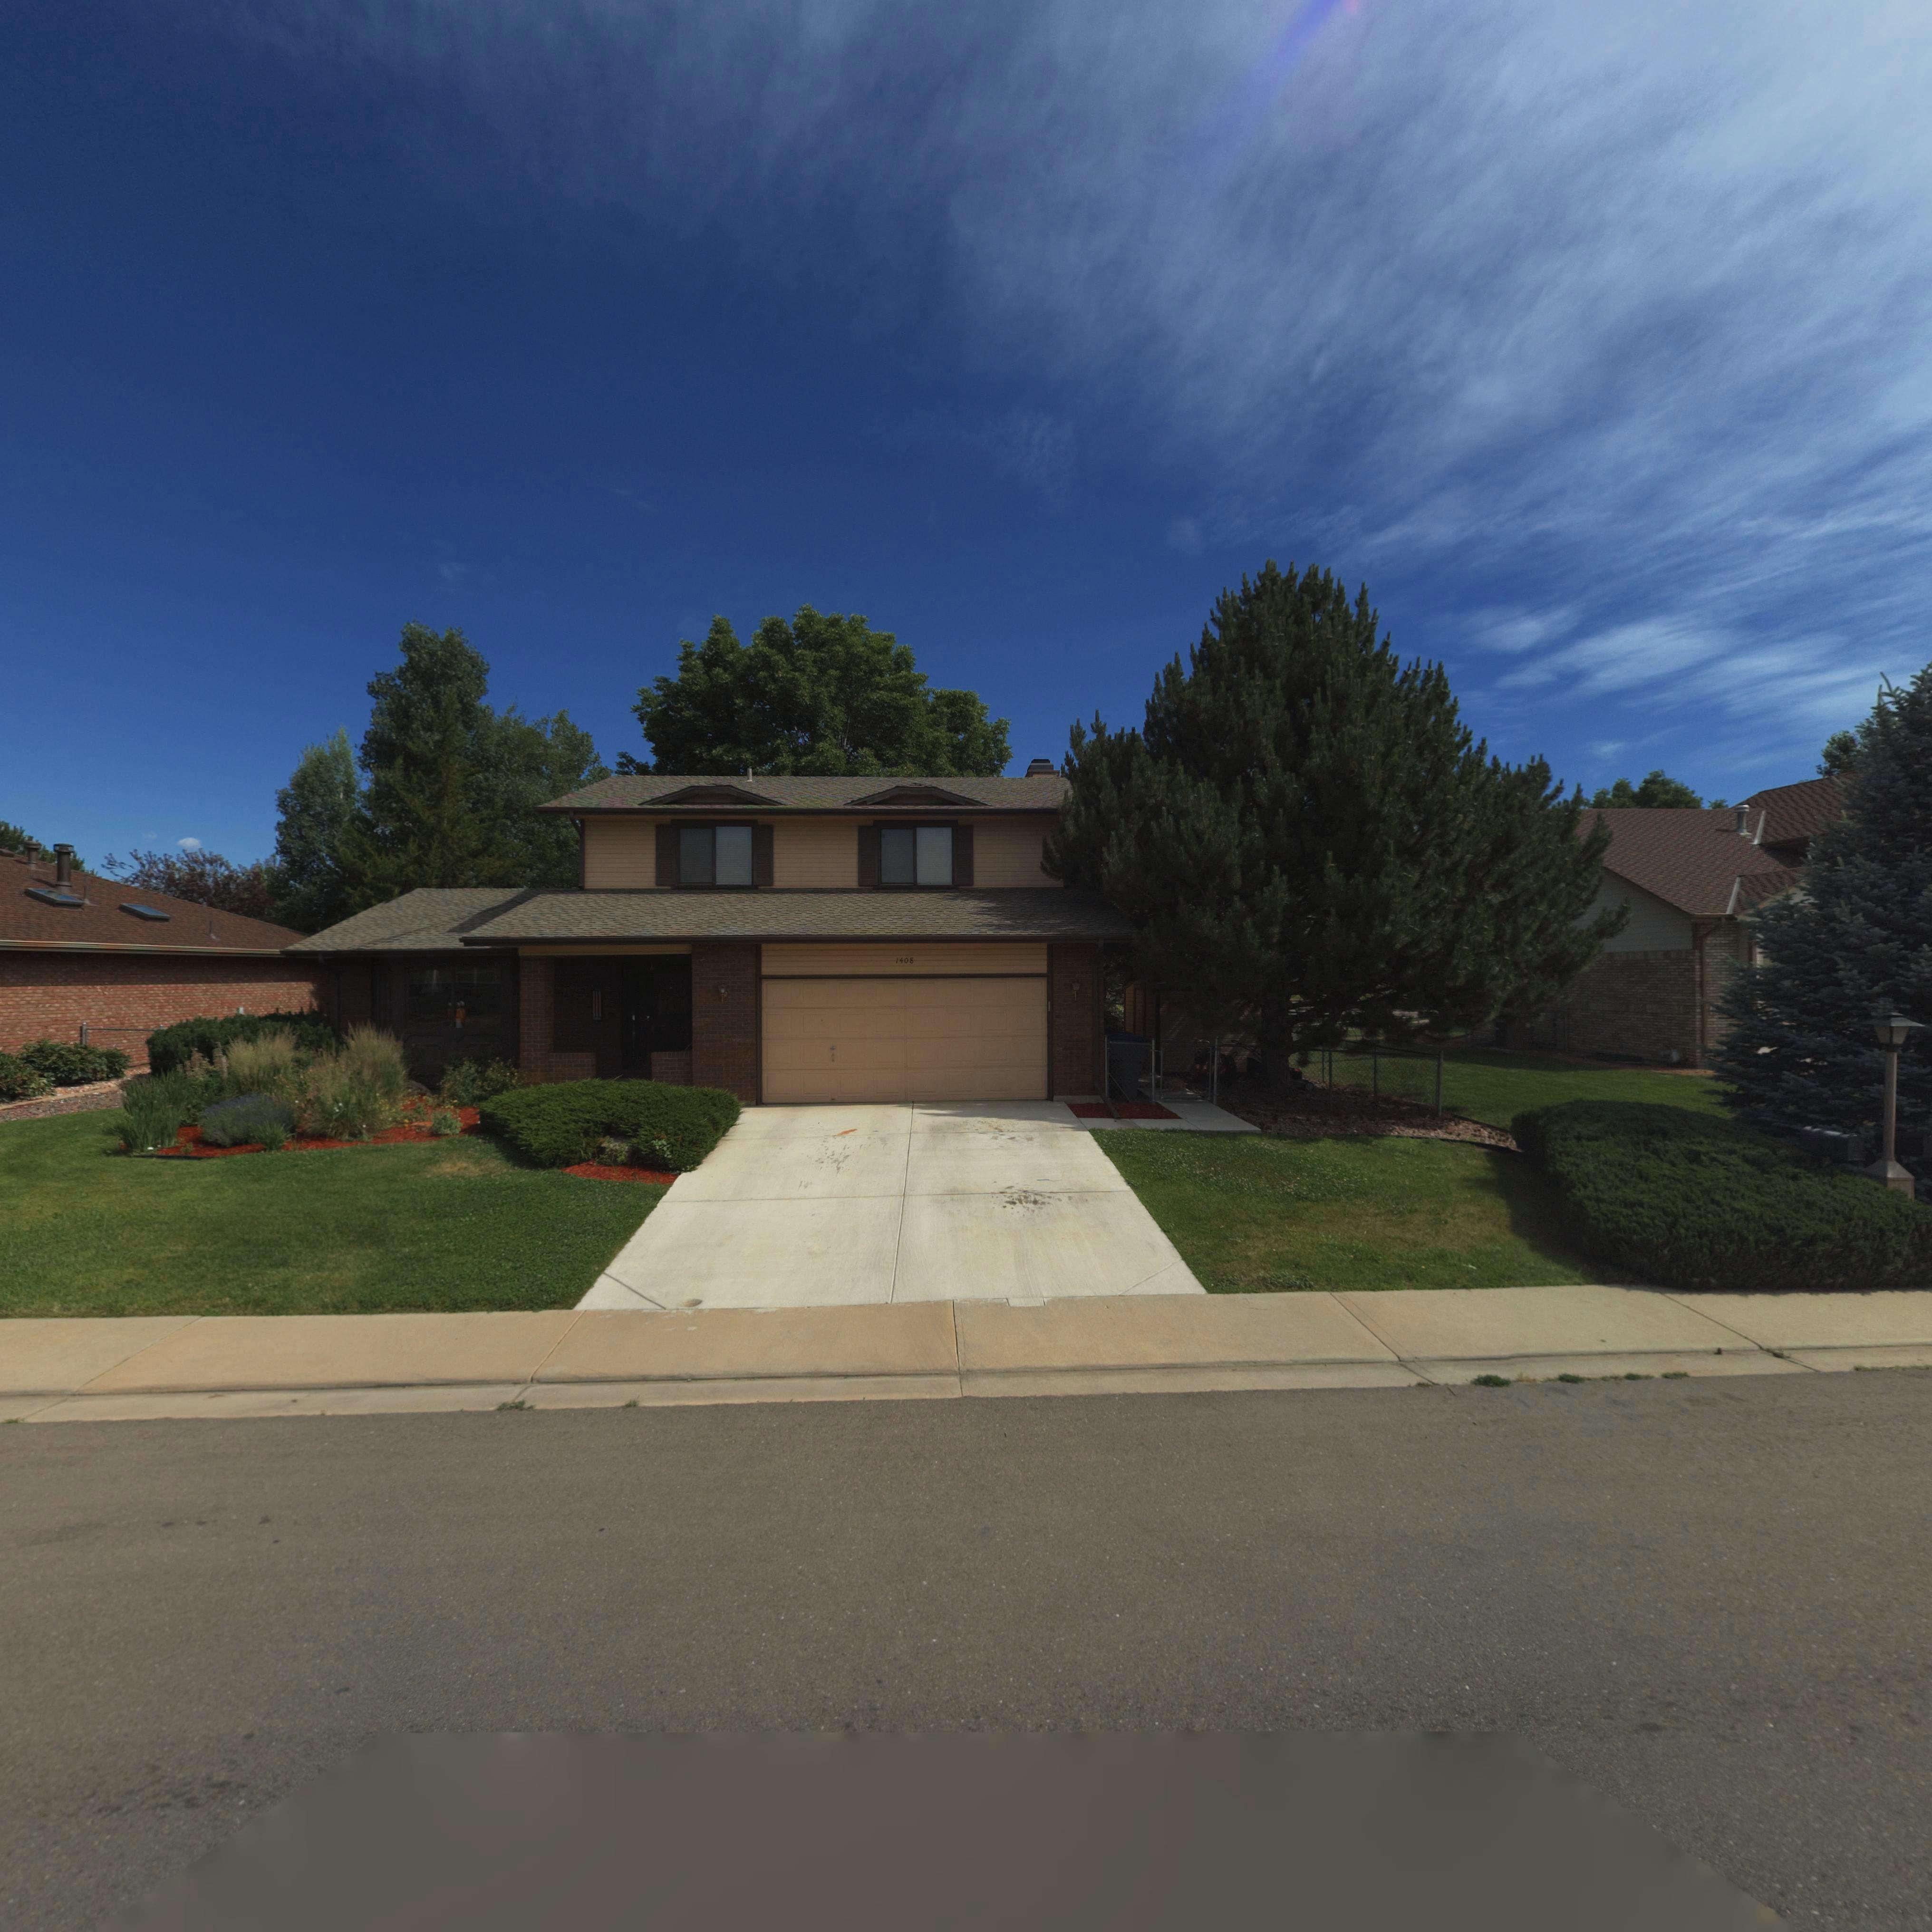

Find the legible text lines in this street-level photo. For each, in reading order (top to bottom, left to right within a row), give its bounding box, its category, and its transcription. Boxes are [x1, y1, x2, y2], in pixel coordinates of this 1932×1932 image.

[895, 956, 914, 964] StreetNumber: 1408